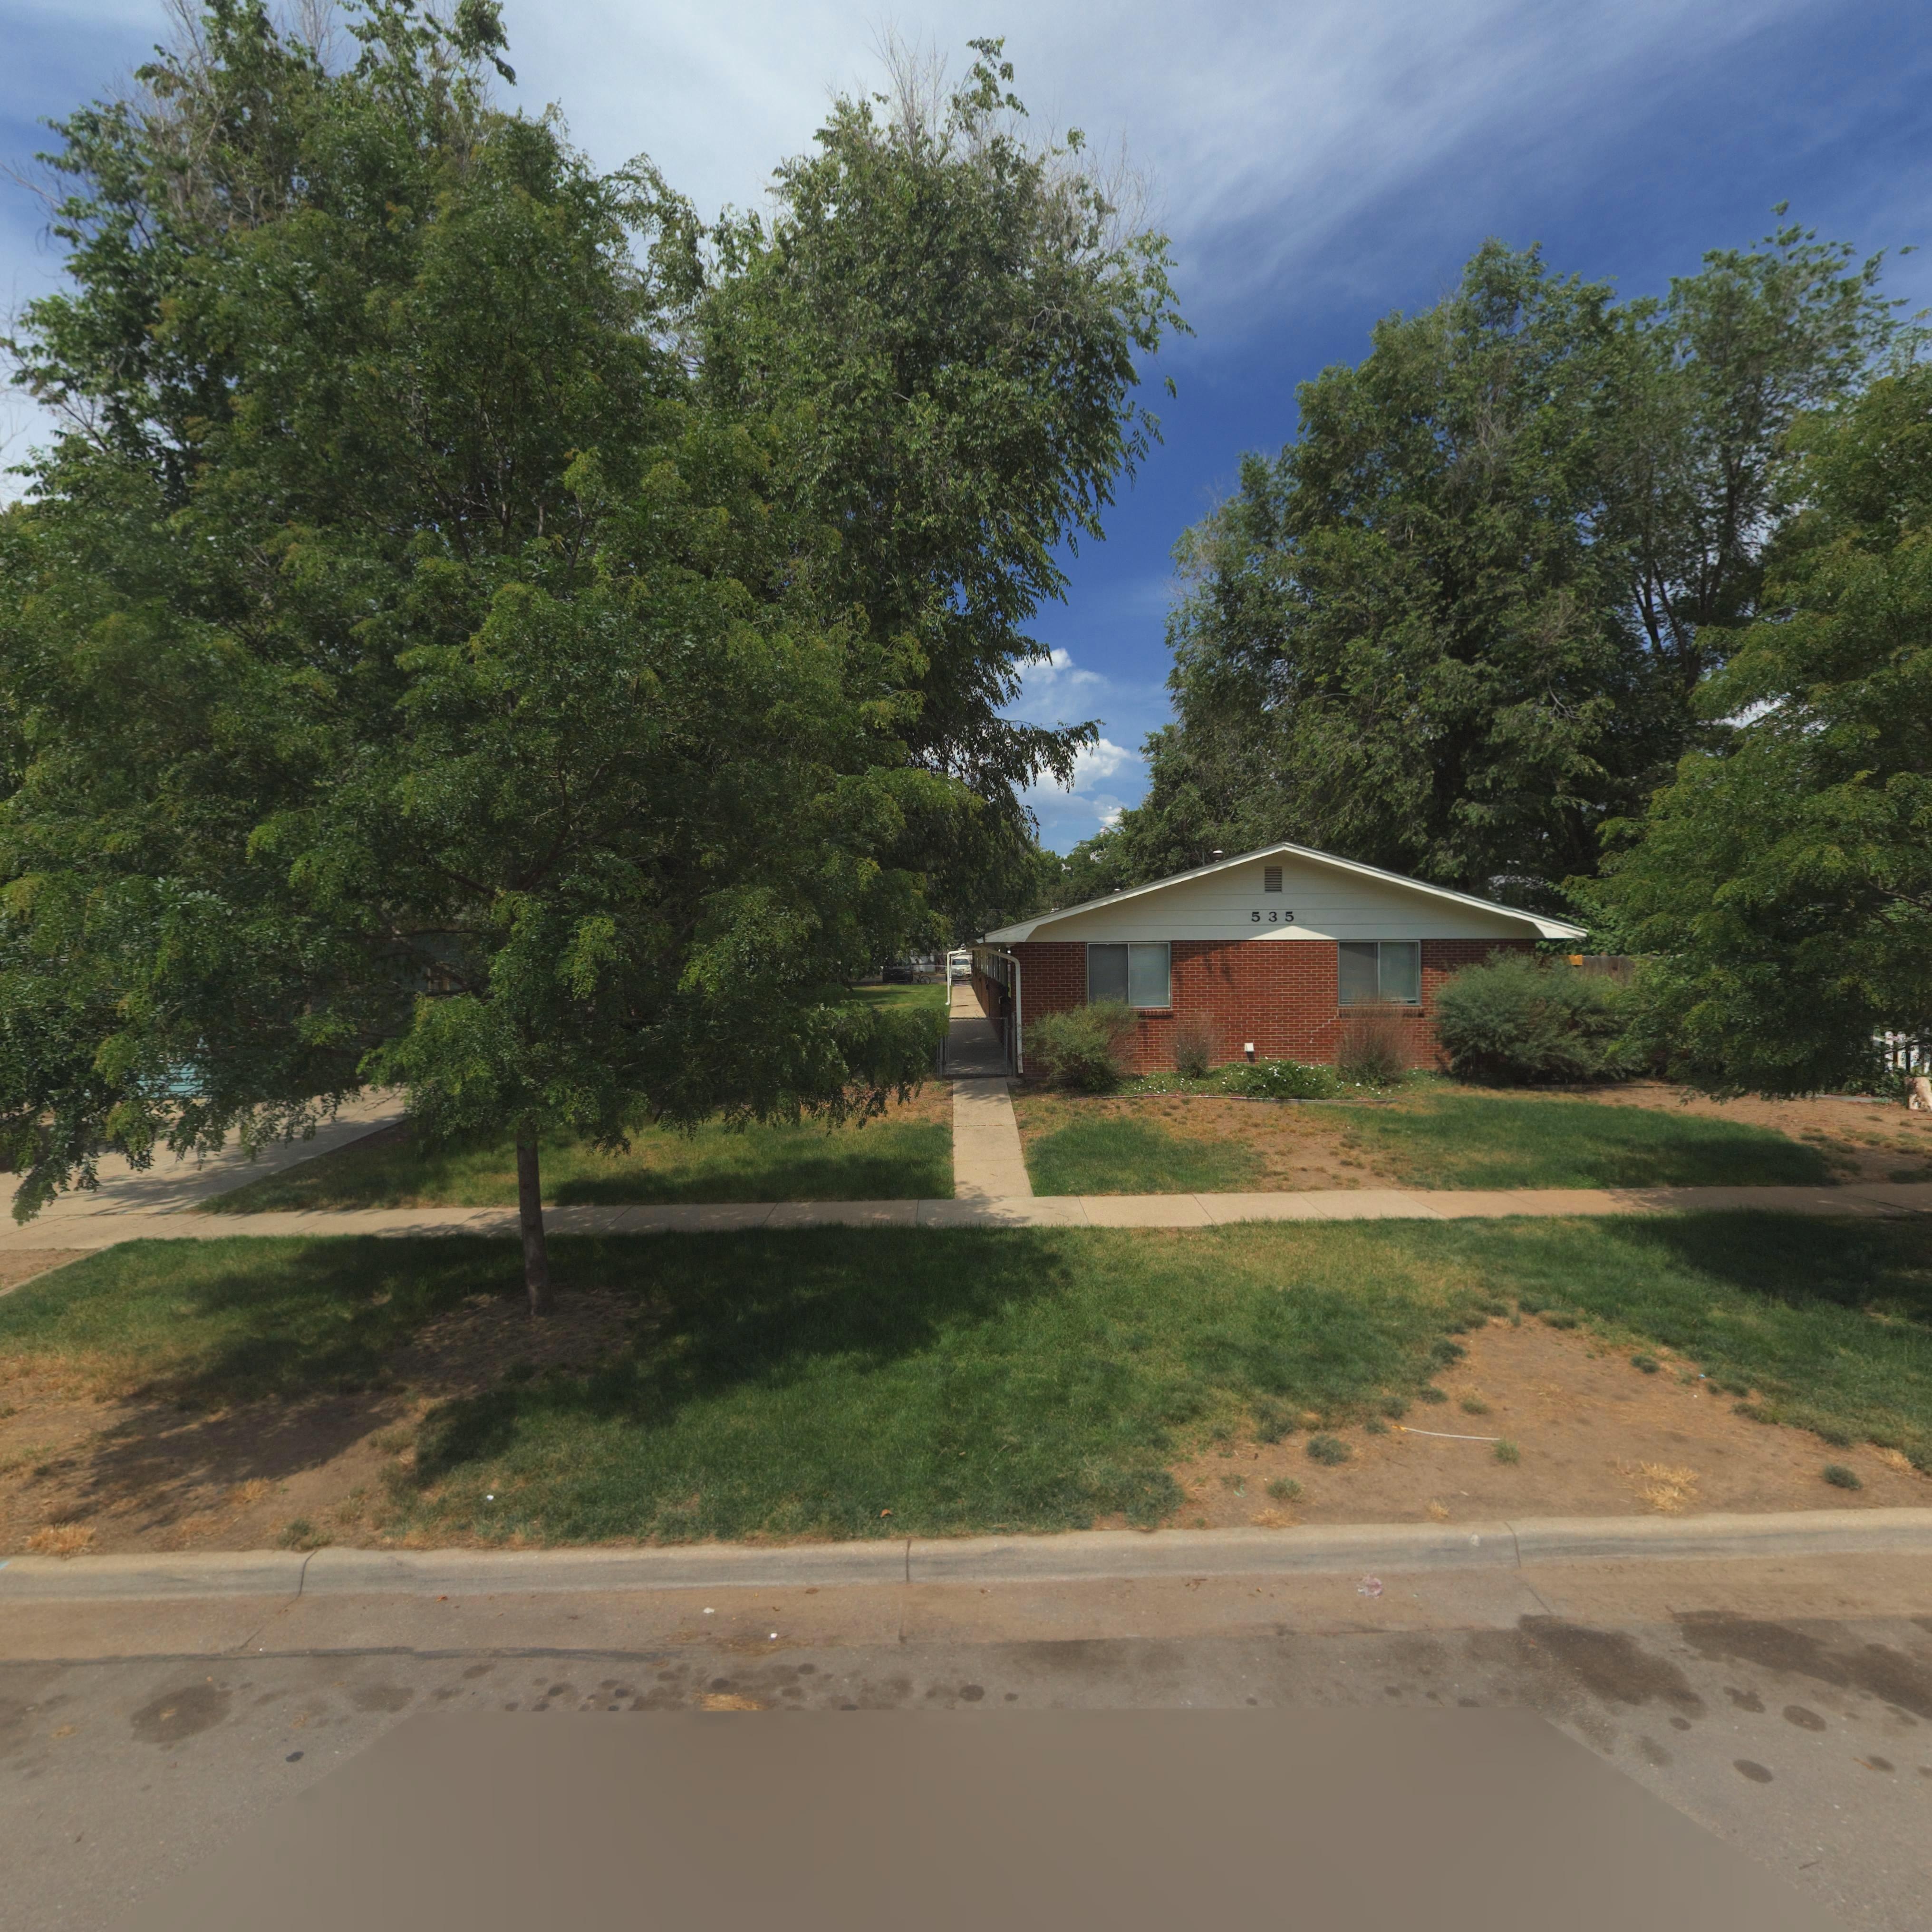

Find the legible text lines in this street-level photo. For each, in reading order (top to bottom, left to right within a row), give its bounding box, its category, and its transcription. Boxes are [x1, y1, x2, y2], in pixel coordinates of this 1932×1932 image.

[1251, 911, 1294, 922] StreetNumber: 535